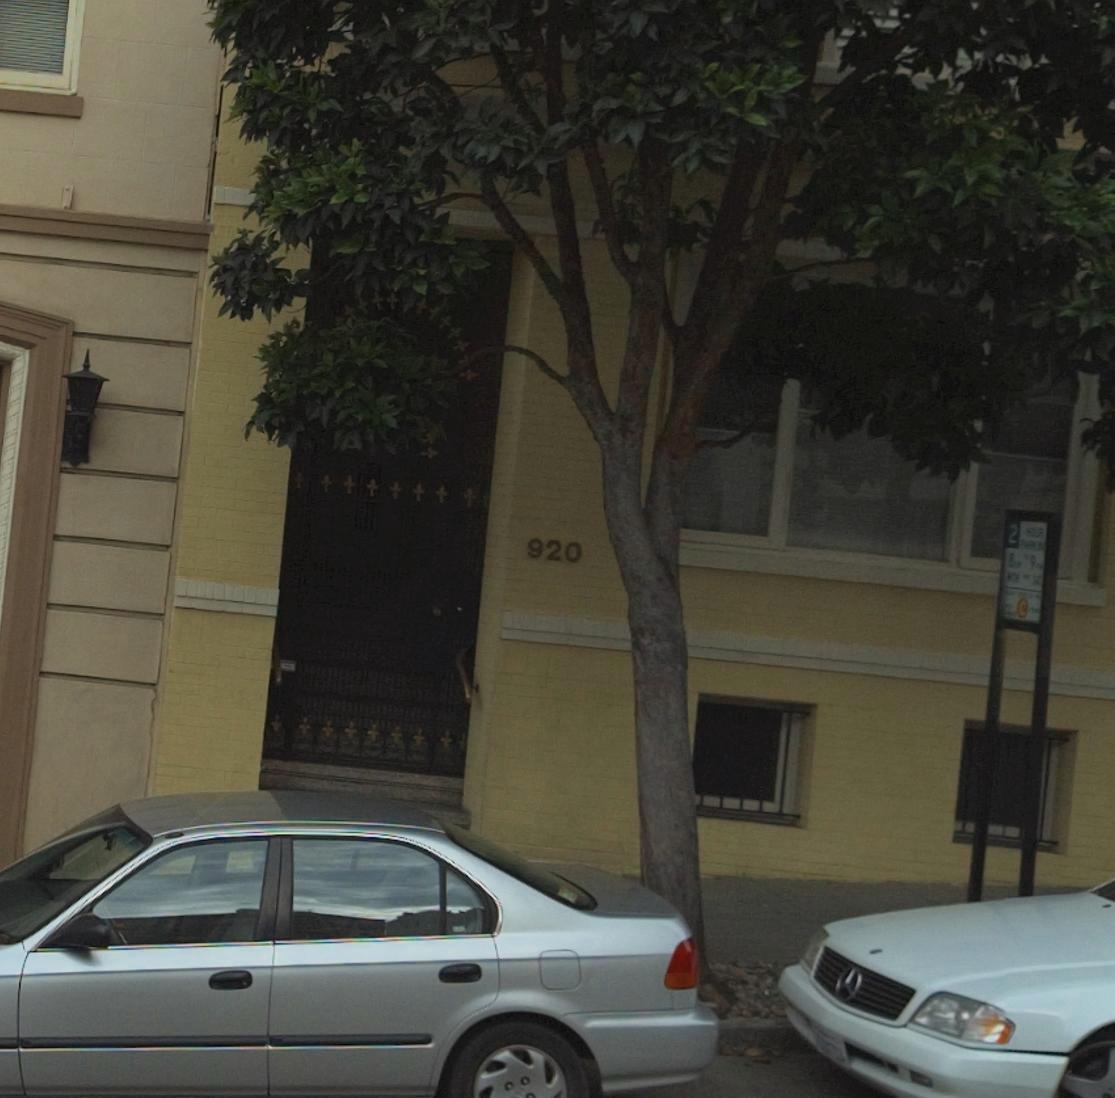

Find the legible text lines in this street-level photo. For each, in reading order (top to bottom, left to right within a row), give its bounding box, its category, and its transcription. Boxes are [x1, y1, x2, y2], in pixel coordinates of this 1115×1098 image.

[1006, 522, 1020, 547] None: 2
[1024, 525, 1046, 539] None: HOUR
[525, 535, 584, 565] StreetNumber: 920
[1028, 553, 1038, 572] None: 9
[1017, 599, 1029, 619] None: C